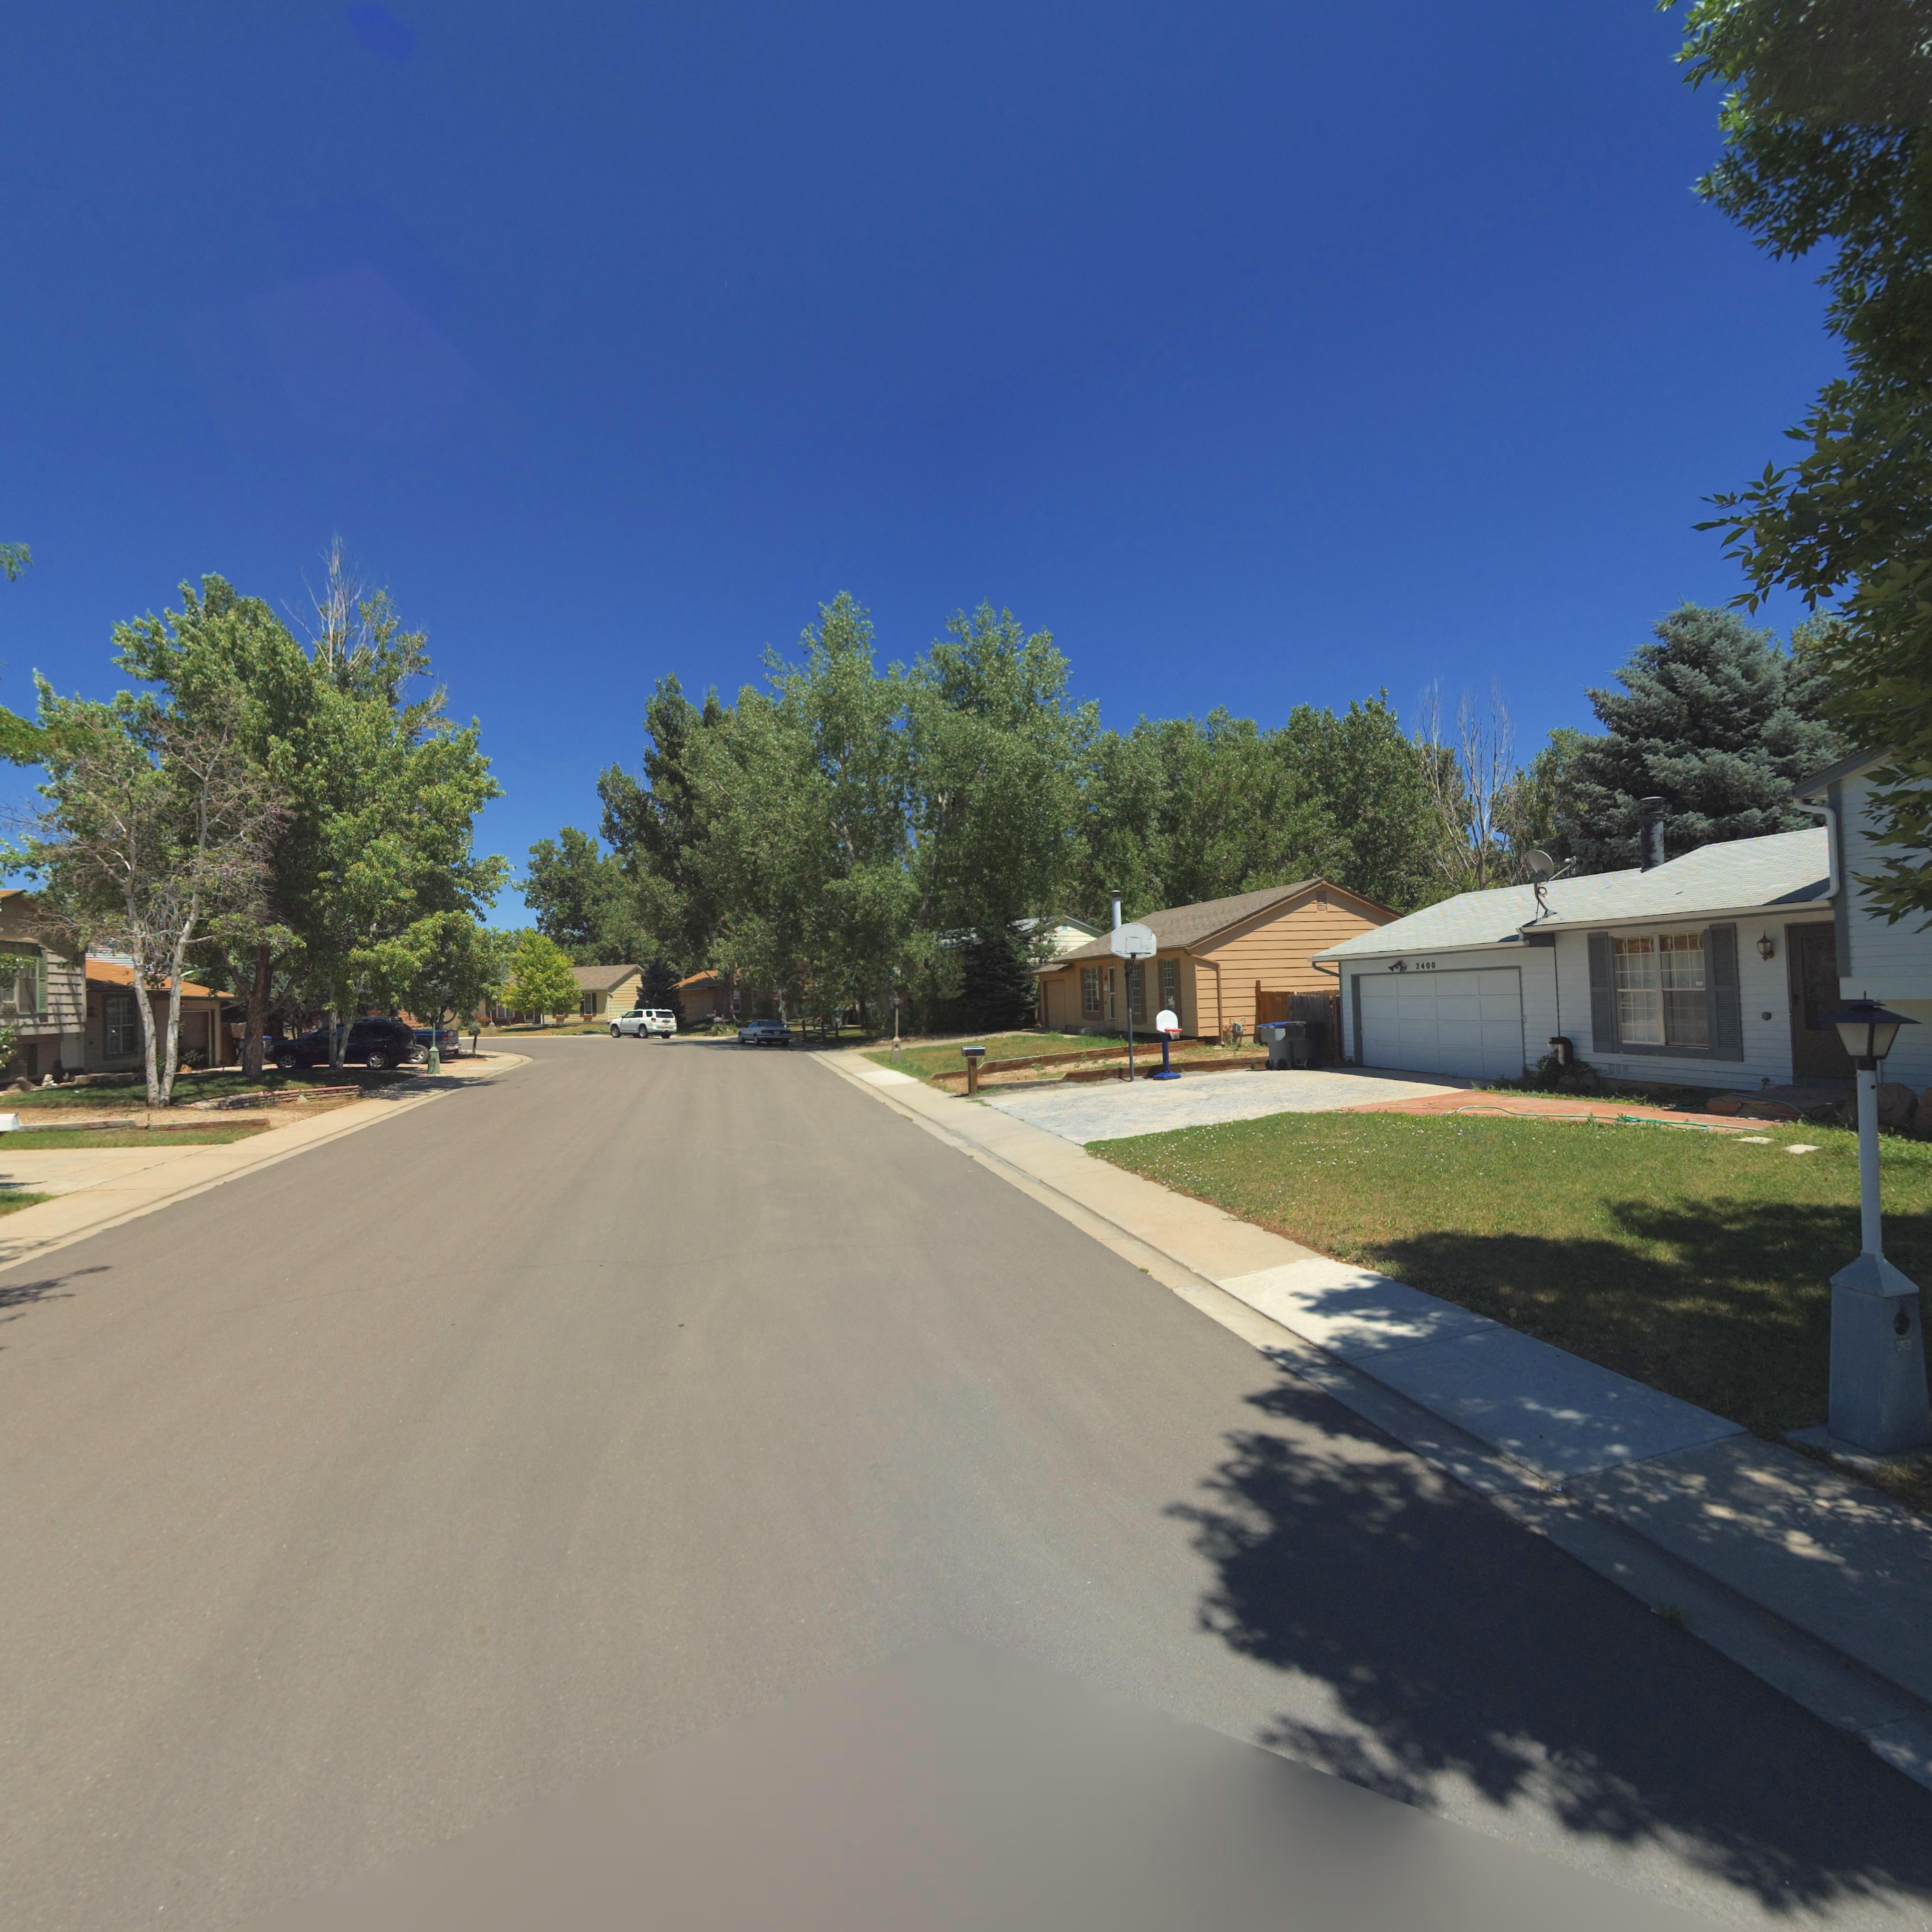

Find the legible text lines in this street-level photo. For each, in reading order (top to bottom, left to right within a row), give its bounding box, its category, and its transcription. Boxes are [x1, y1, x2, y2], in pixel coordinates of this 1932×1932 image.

[1415, 961, 1436, 969] StreetNumber: 2400